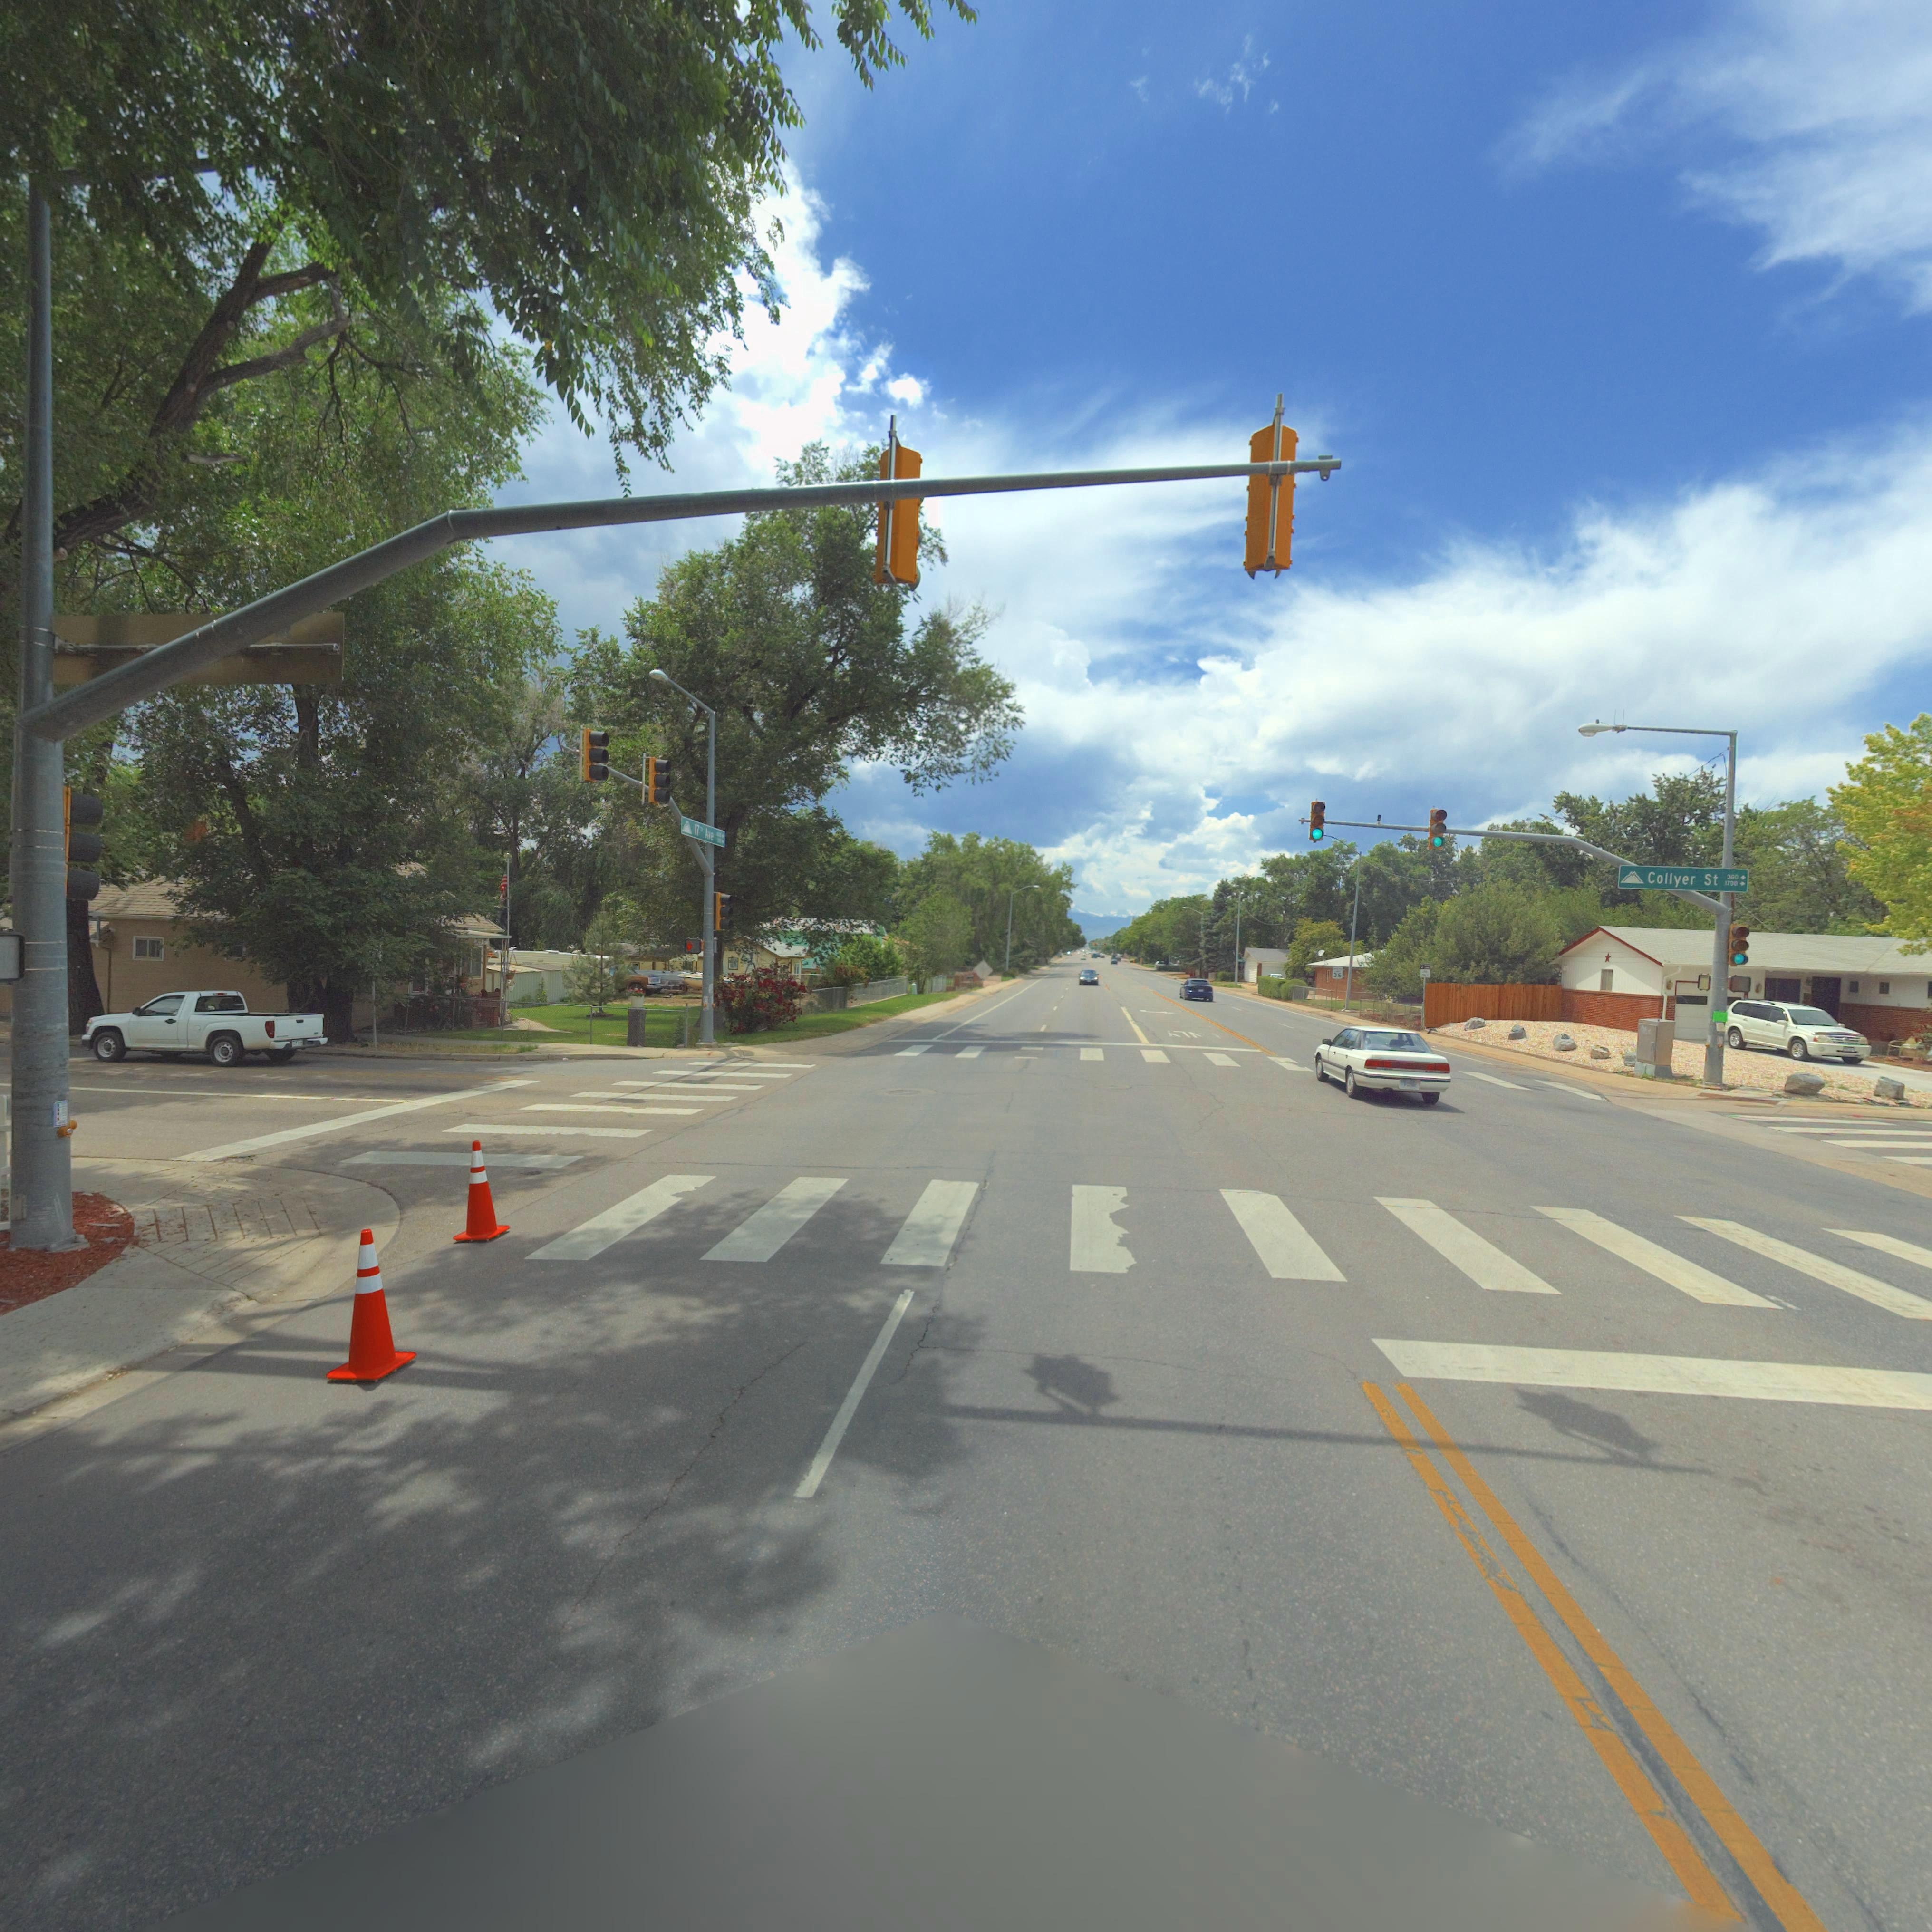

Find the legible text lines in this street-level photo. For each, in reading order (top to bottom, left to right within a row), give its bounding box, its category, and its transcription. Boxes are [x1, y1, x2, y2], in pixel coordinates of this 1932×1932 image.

[694, 823, 714, 841] StreetName: 17** Ave
[1647, 871, 1719, 888] StreetName: Collyer St
[1724, 880, 1746, 886] StreetNumberRange: 1700->
[1727, 873, 1747, 880] StreetNumberRange: 300->